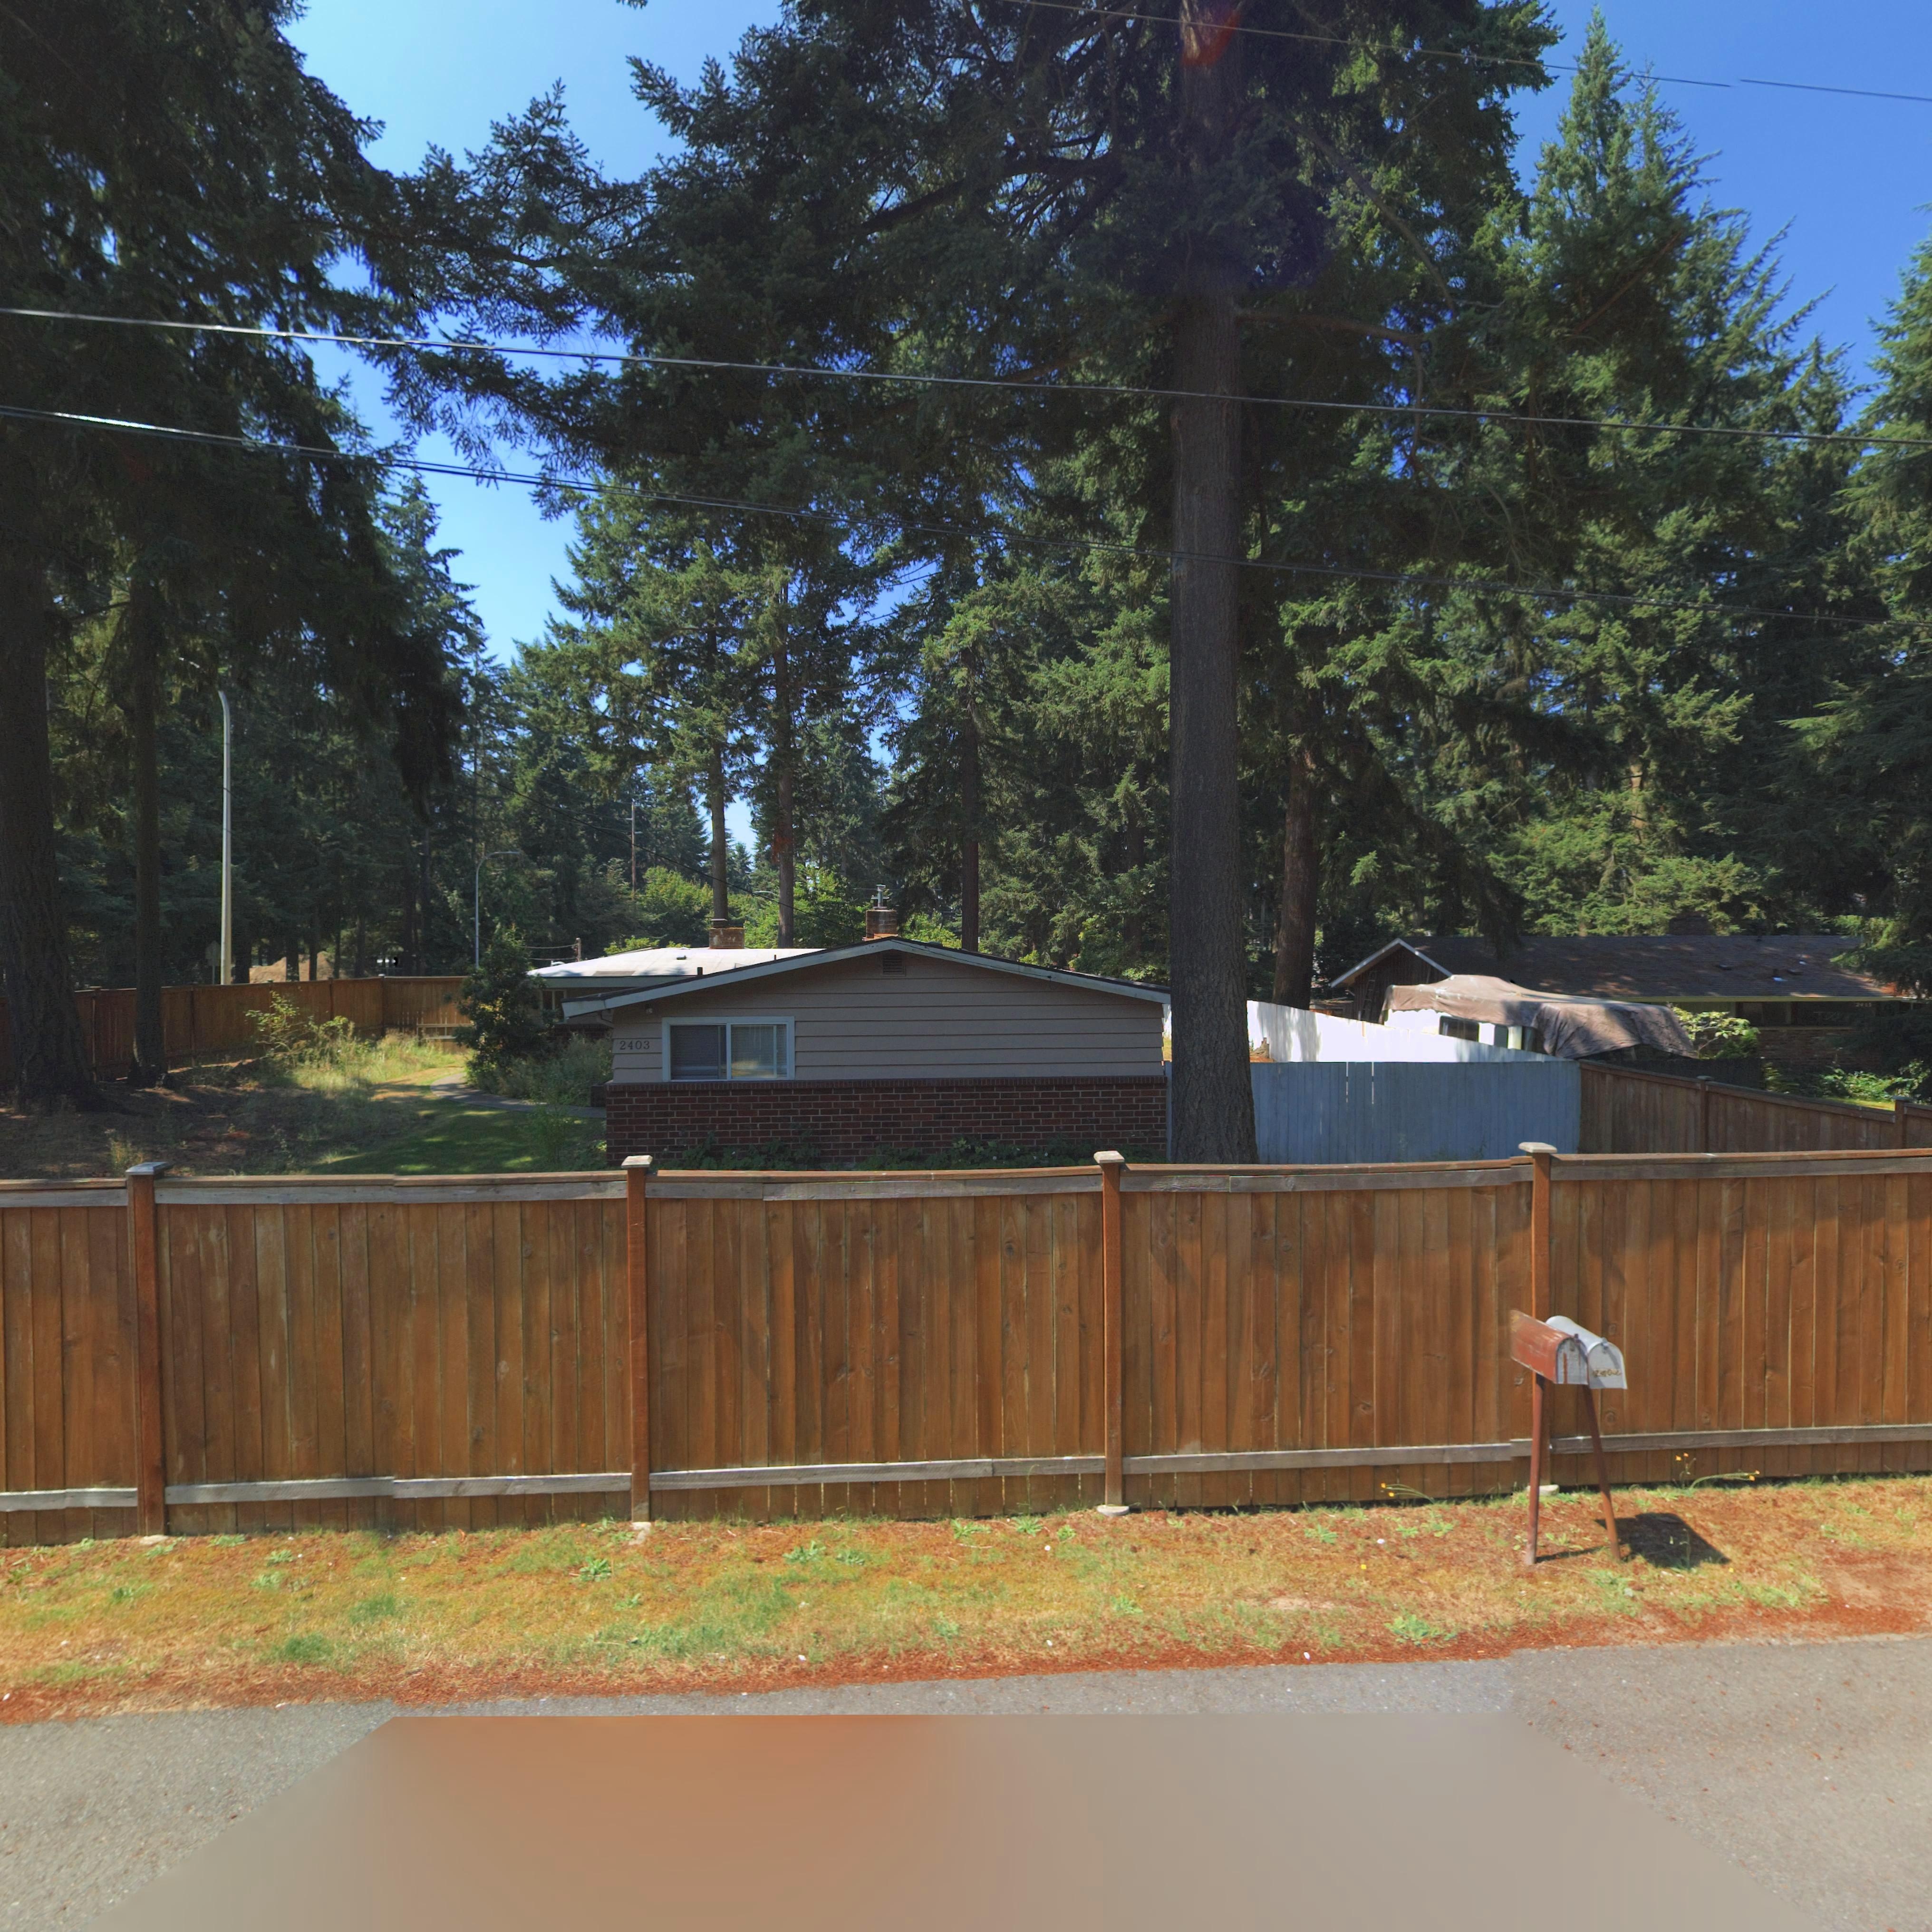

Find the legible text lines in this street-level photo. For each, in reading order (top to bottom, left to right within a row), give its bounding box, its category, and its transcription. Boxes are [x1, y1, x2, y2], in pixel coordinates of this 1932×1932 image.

[619, 1040, 649, 1049] StreetNumber: 2403